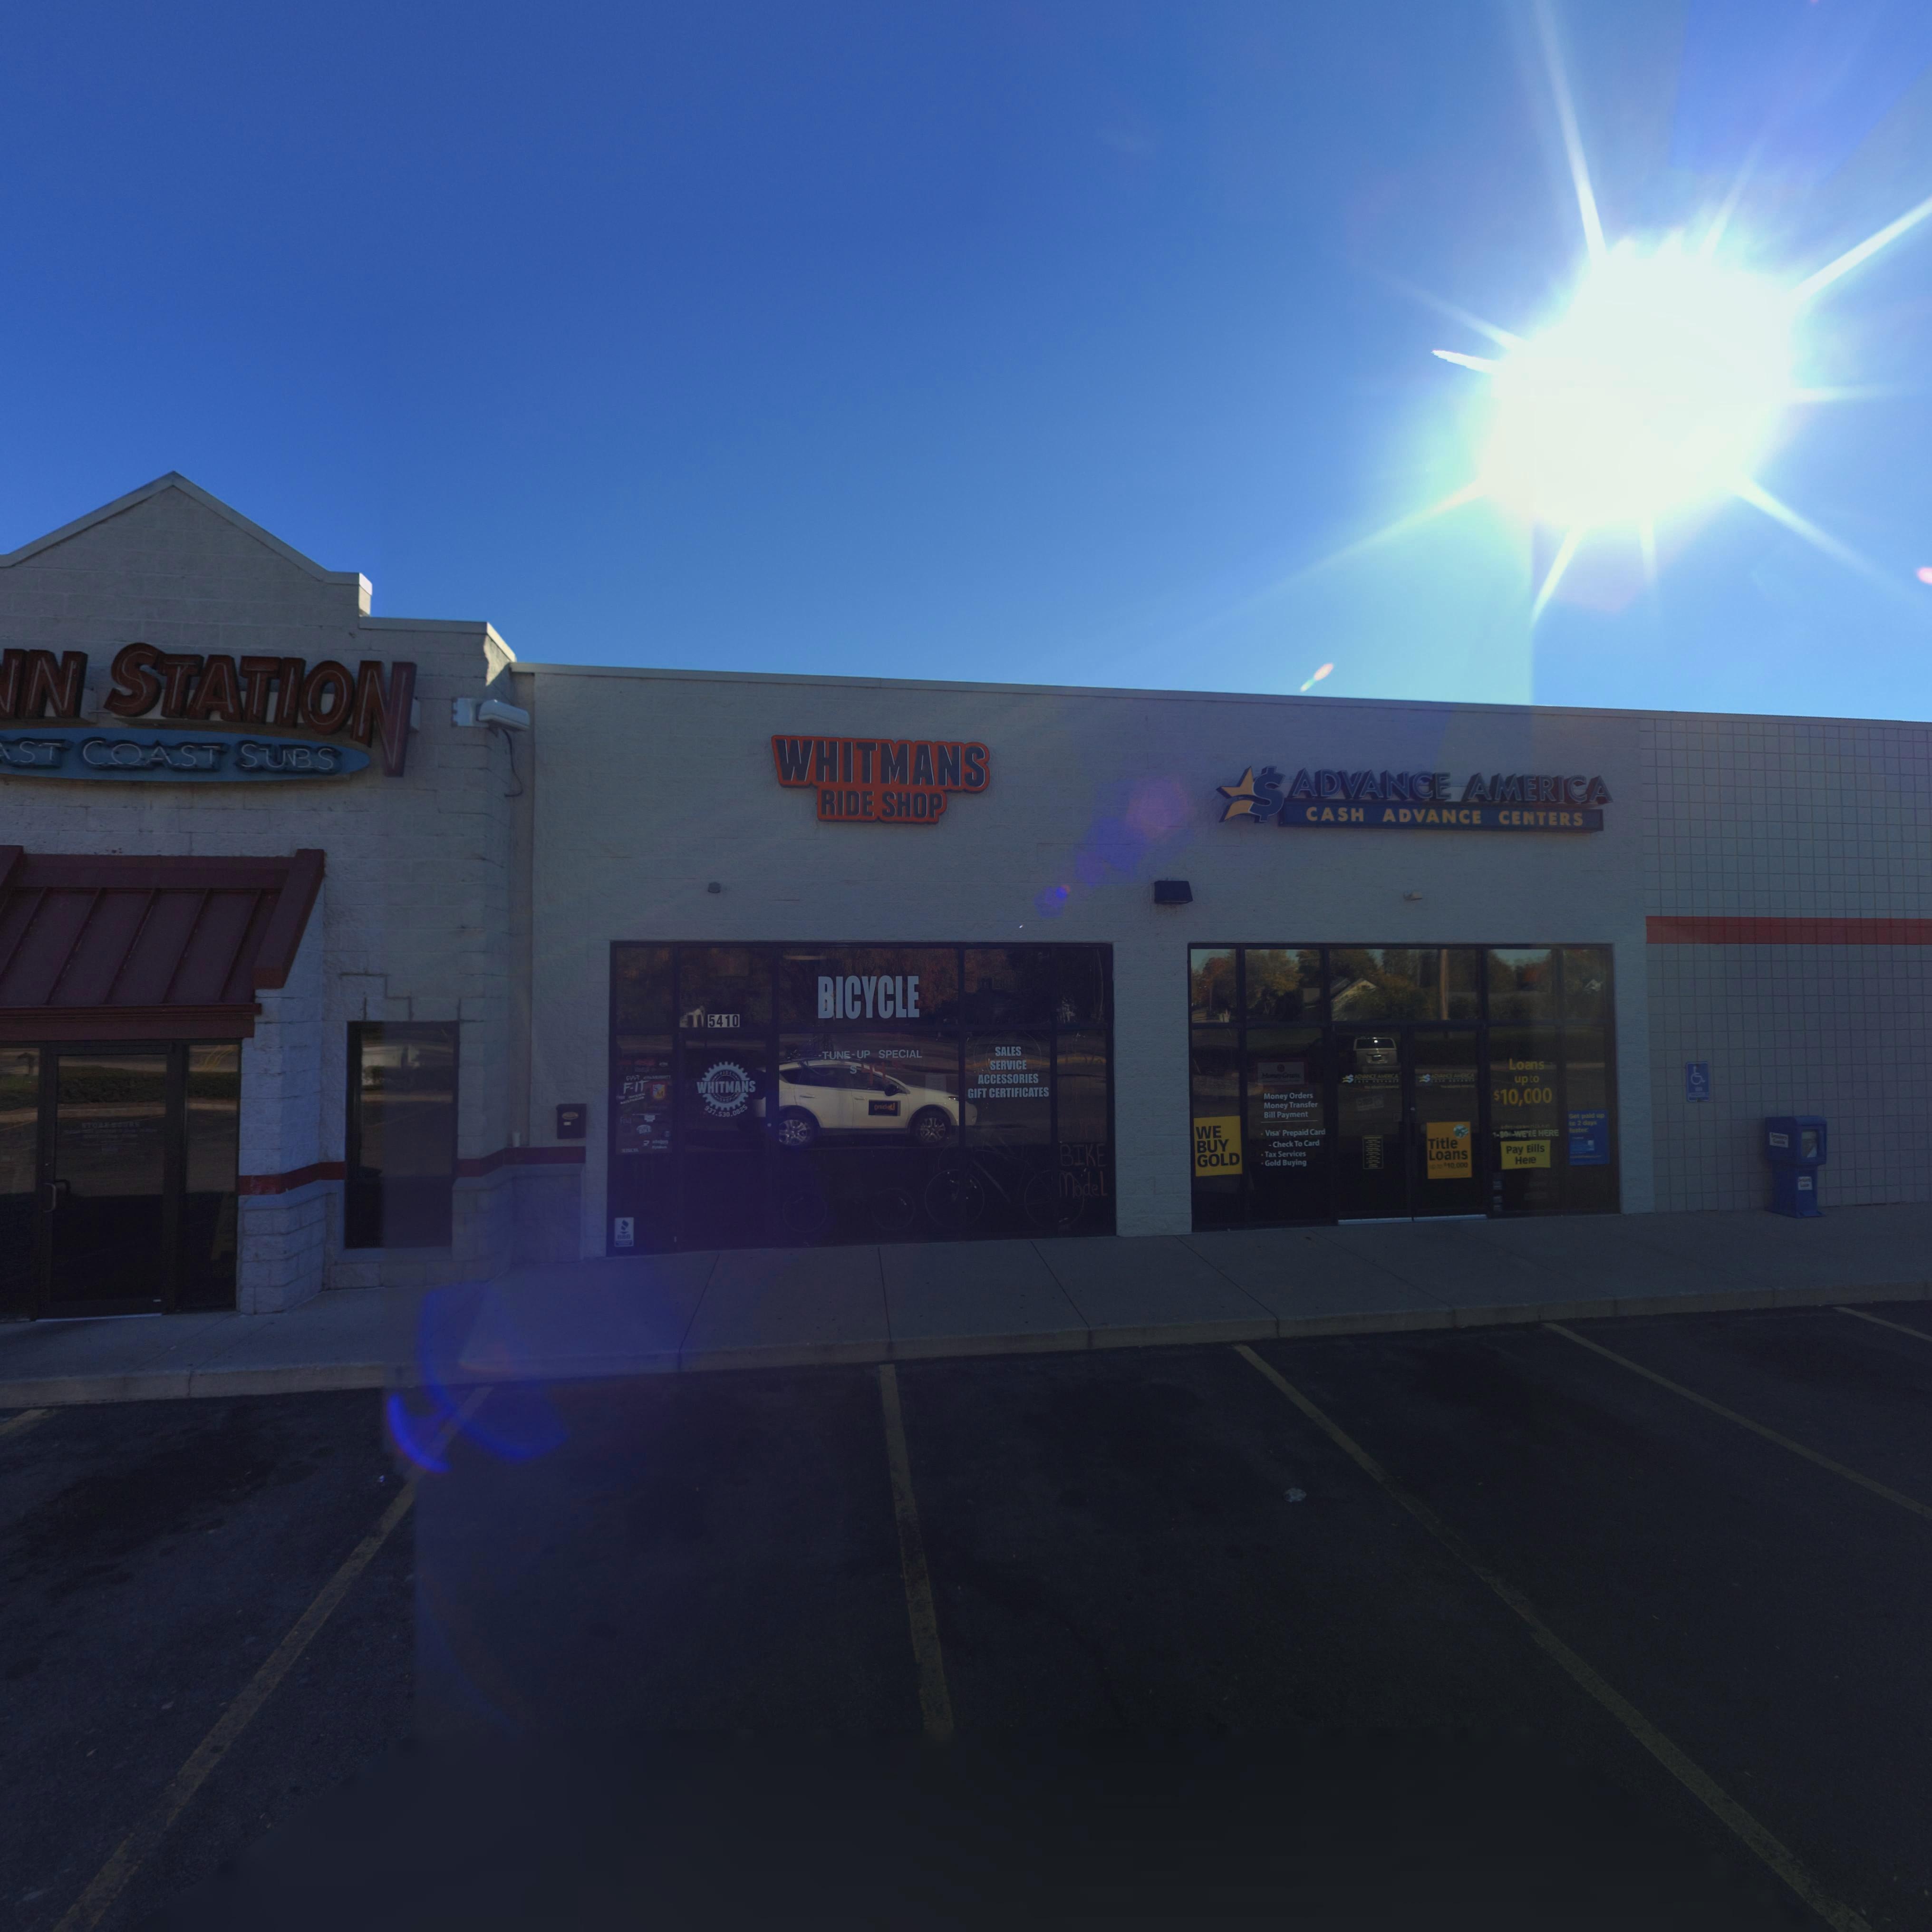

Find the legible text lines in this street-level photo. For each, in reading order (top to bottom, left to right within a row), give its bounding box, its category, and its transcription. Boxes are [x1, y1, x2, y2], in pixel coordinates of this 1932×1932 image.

[708, 1014, 739, 1028] StreetNumber: 5410